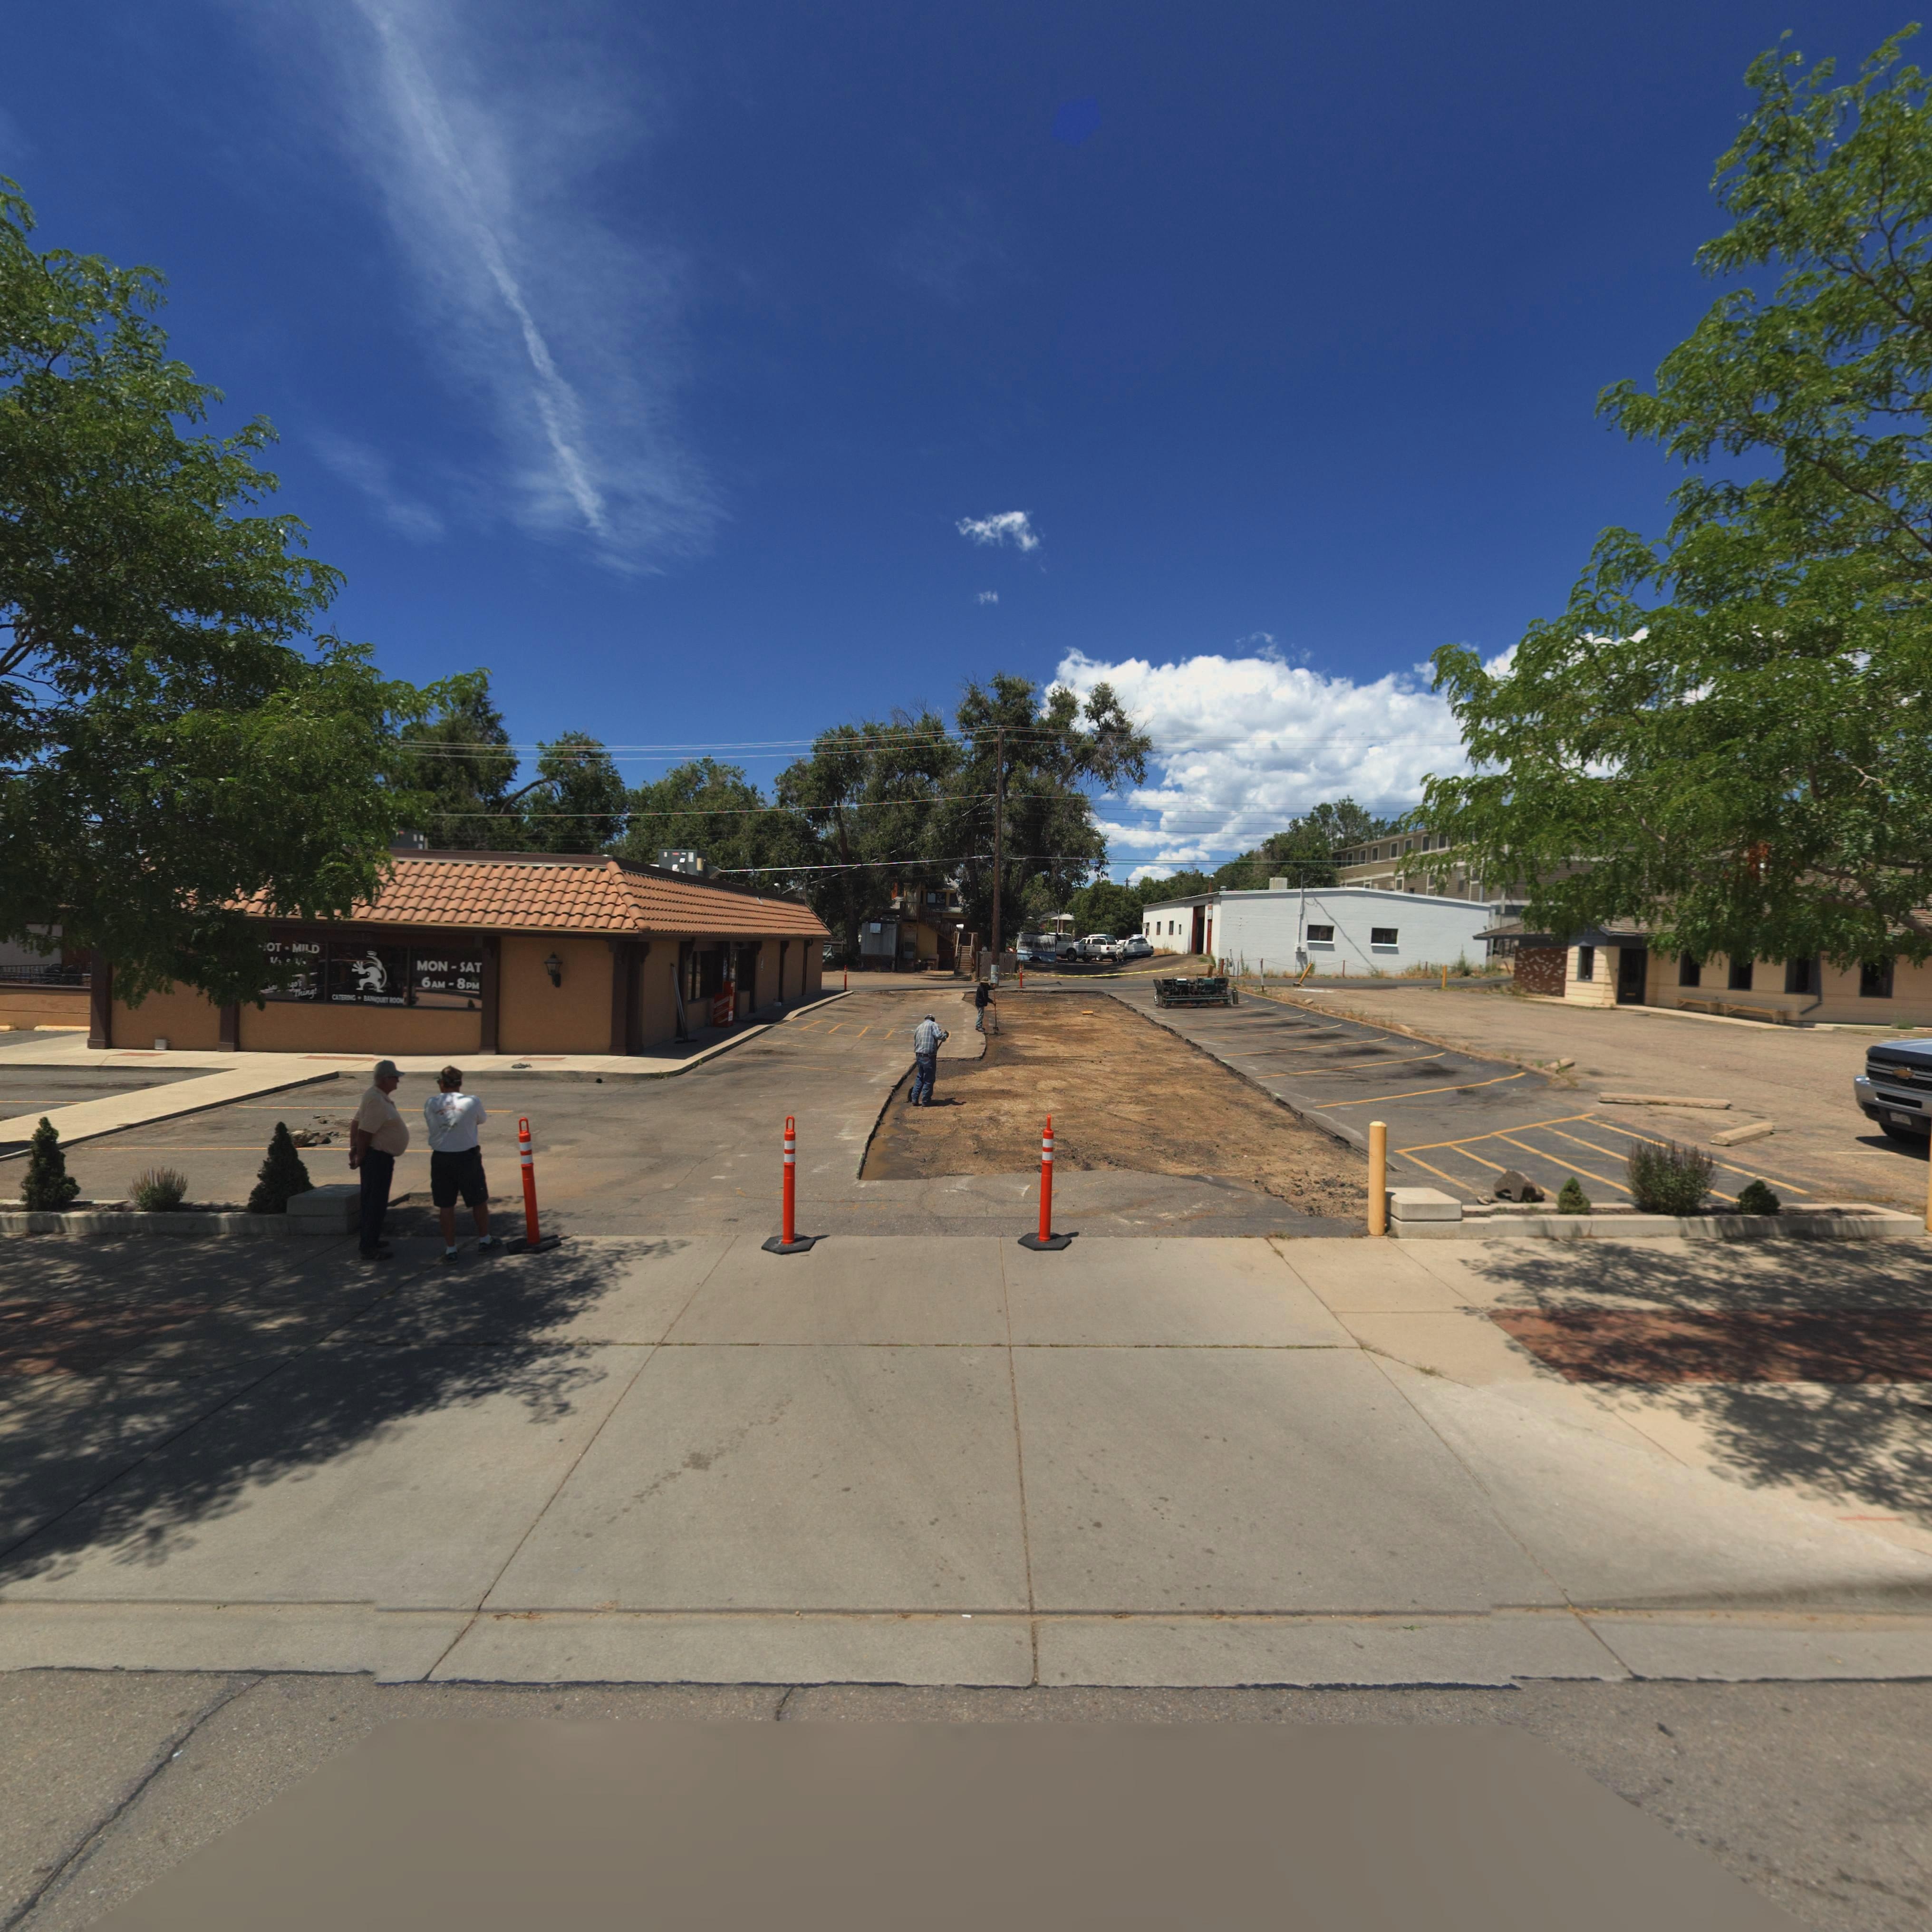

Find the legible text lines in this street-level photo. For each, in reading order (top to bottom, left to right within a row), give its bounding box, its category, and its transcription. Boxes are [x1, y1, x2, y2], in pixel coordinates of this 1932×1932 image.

[264, 978, 303, 992] BusinessName: Sa****go's